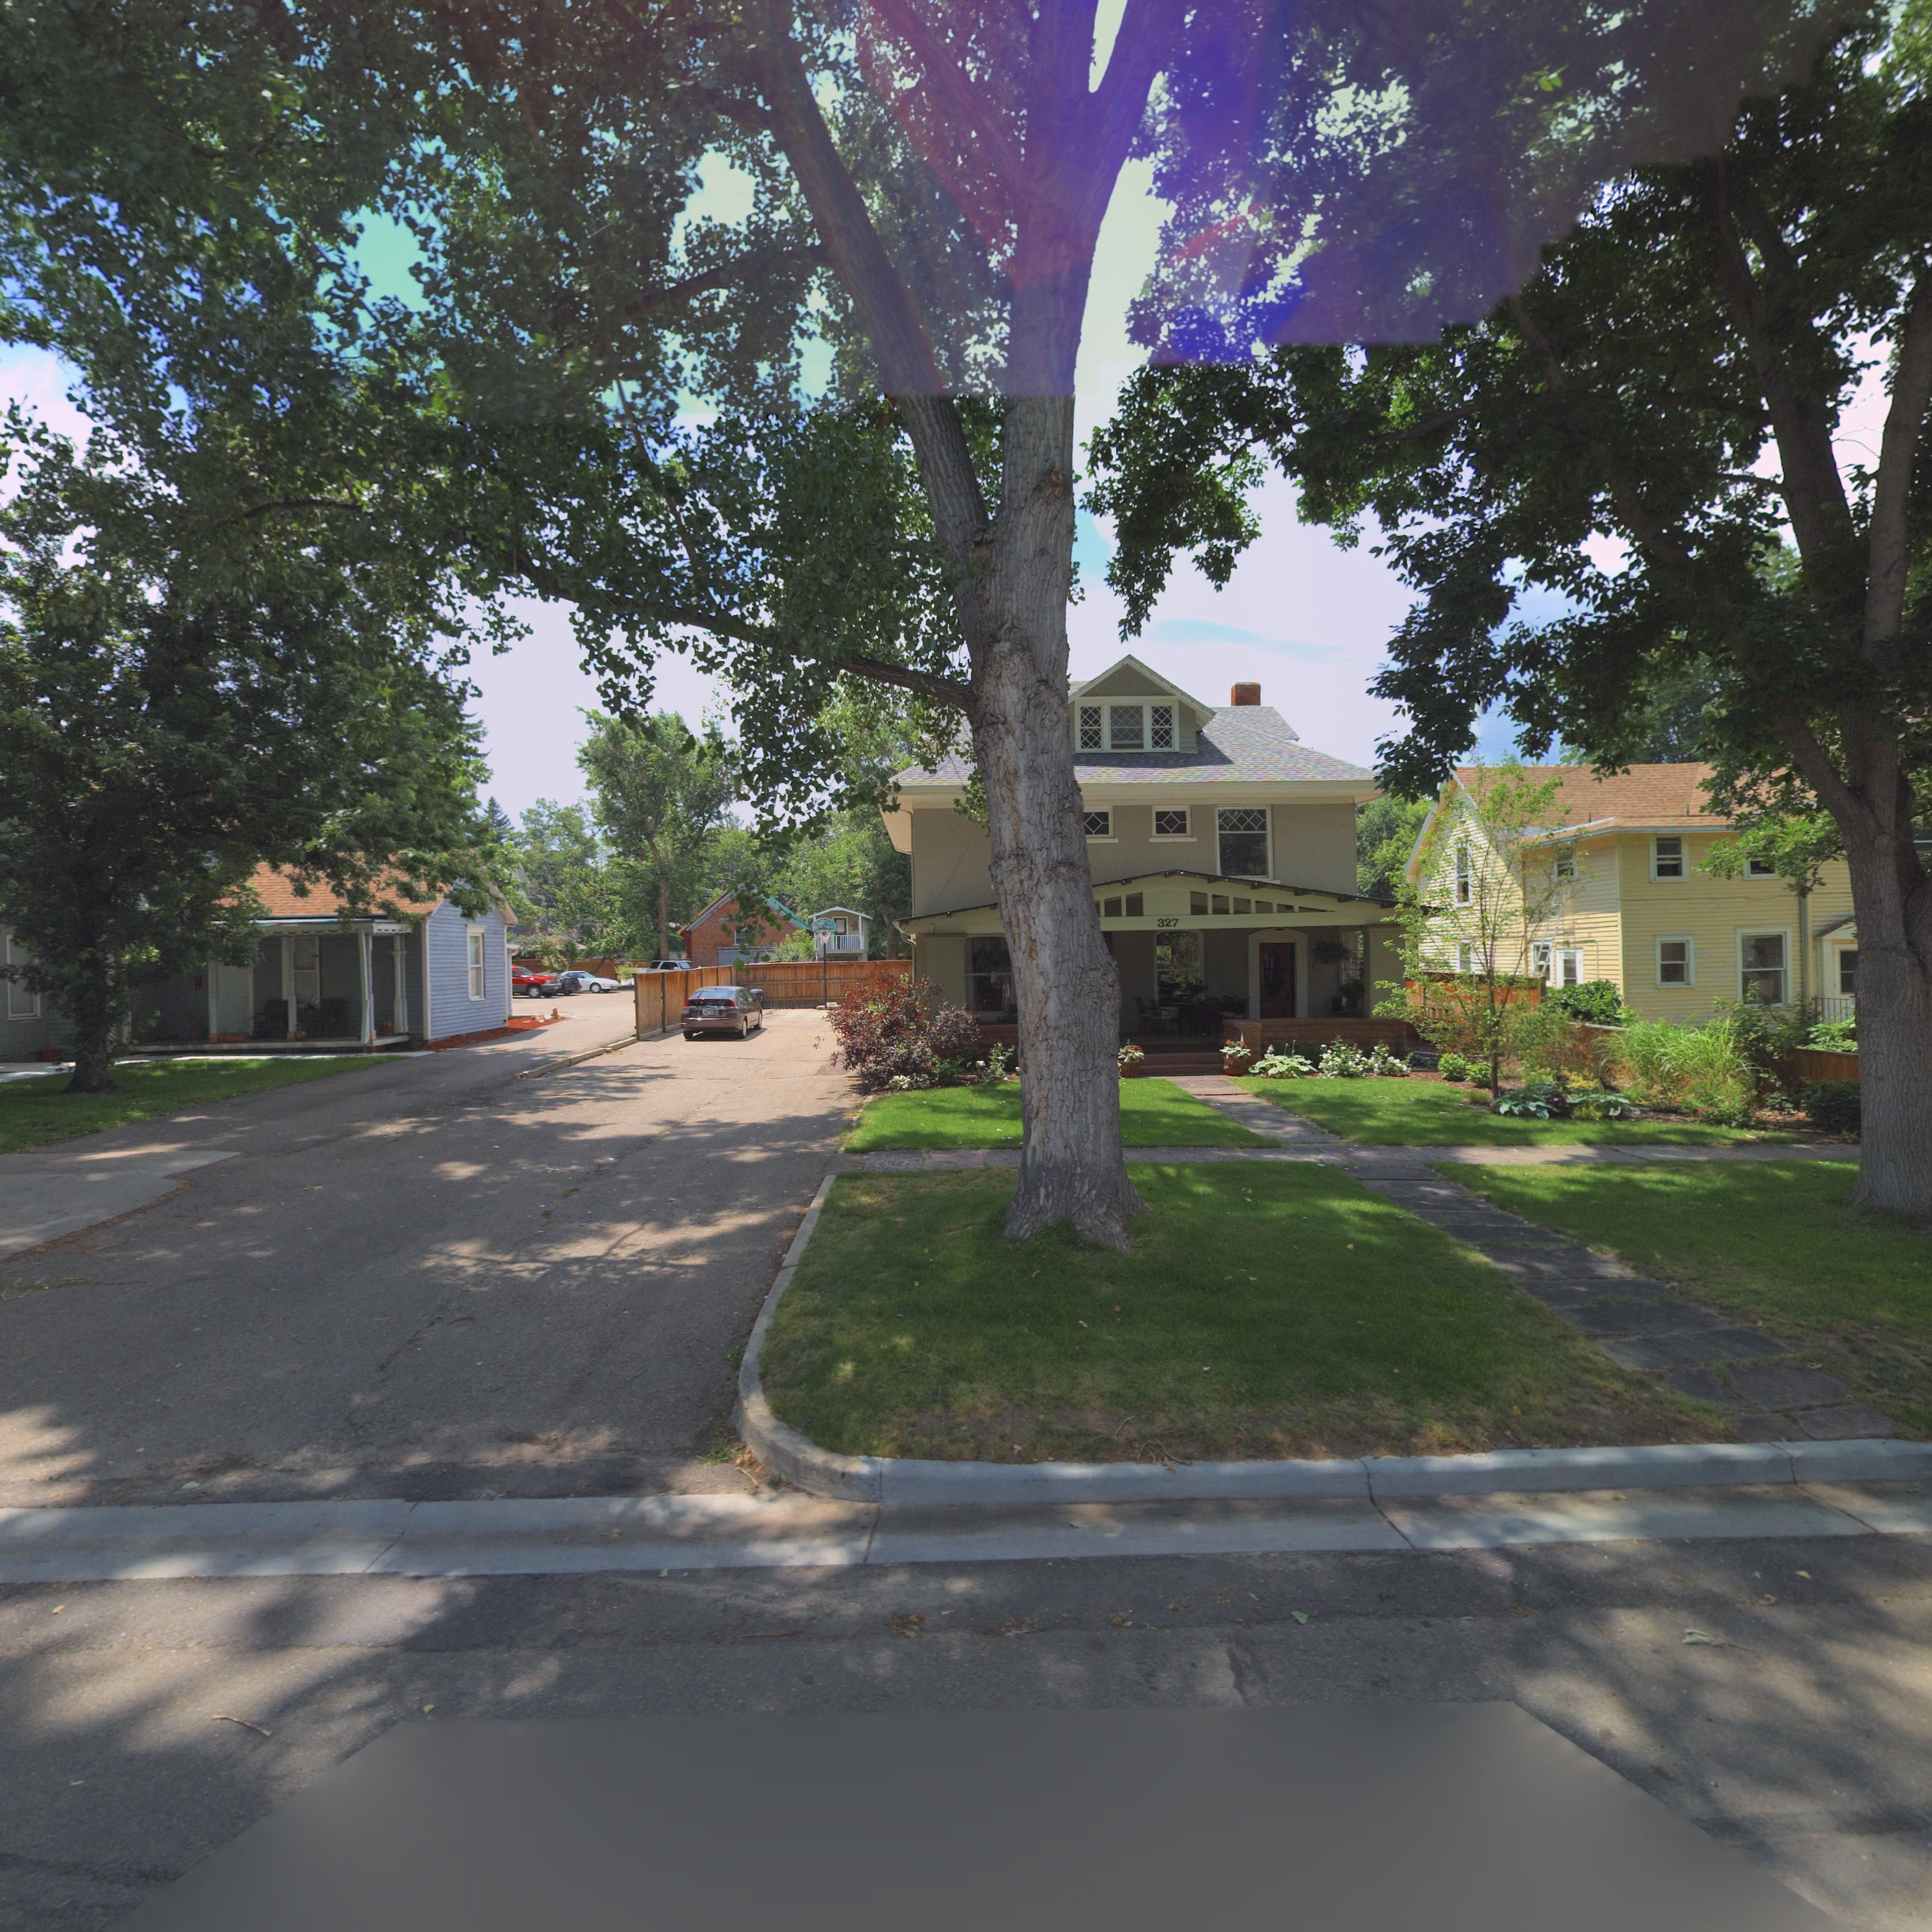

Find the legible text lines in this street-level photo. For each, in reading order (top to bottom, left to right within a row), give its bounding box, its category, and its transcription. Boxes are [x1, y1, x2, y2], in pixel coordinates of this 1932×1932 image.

[1158, 918, 1179, 927] StreetNumber: 327